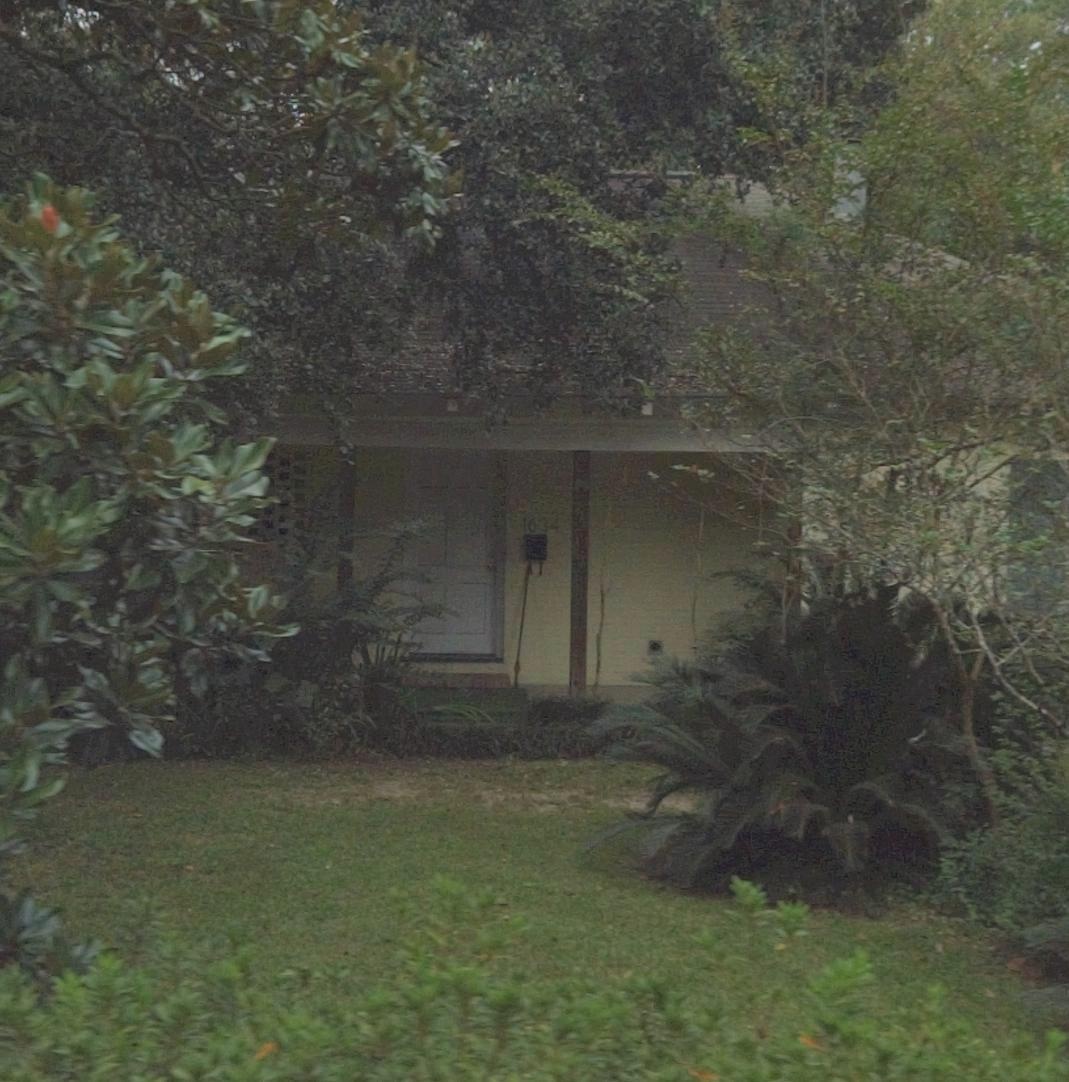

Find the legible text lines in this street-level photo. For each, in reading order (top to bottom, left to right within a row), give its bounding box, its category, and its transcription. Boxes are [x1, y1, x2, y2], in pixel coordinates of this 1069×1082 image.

[521, 514, 561, 533] StreetNumber: 1634